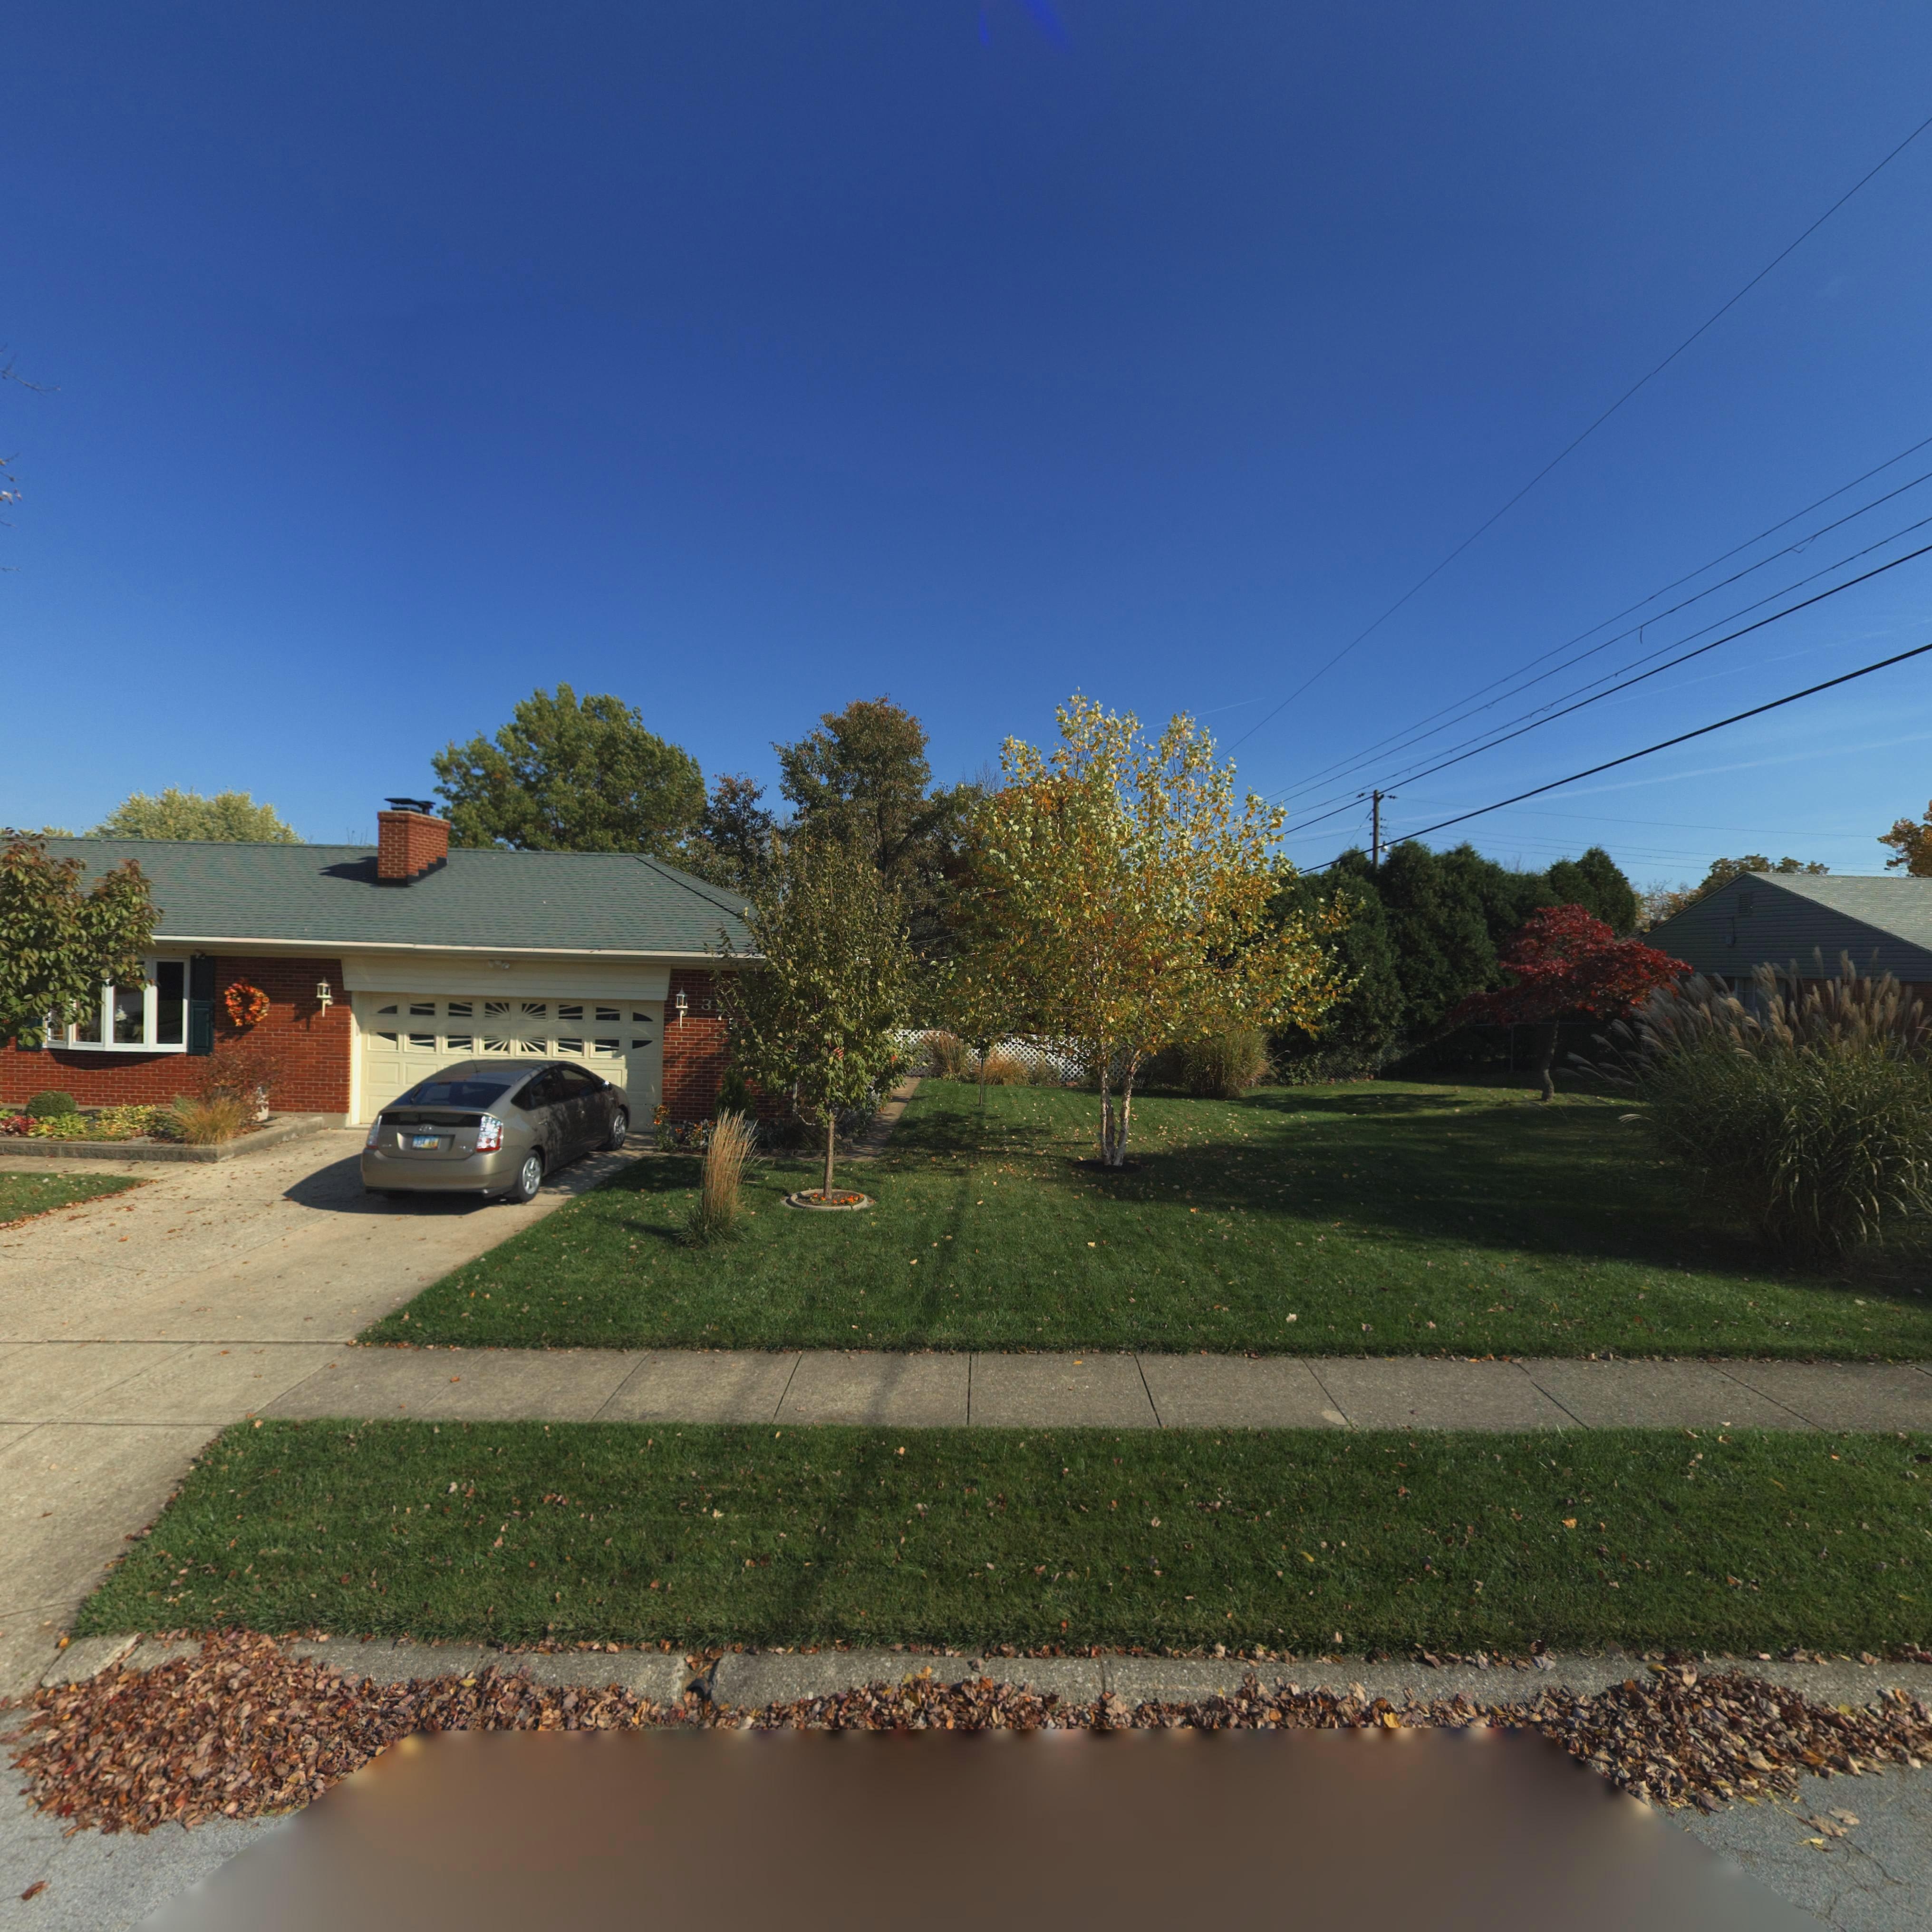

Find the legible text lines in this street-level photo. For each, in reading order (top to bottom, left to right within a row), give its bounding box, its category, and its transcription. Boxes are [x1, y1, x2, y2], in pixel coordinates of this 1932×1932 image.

[700, 997, 727, 1022] StreetNumber: 37